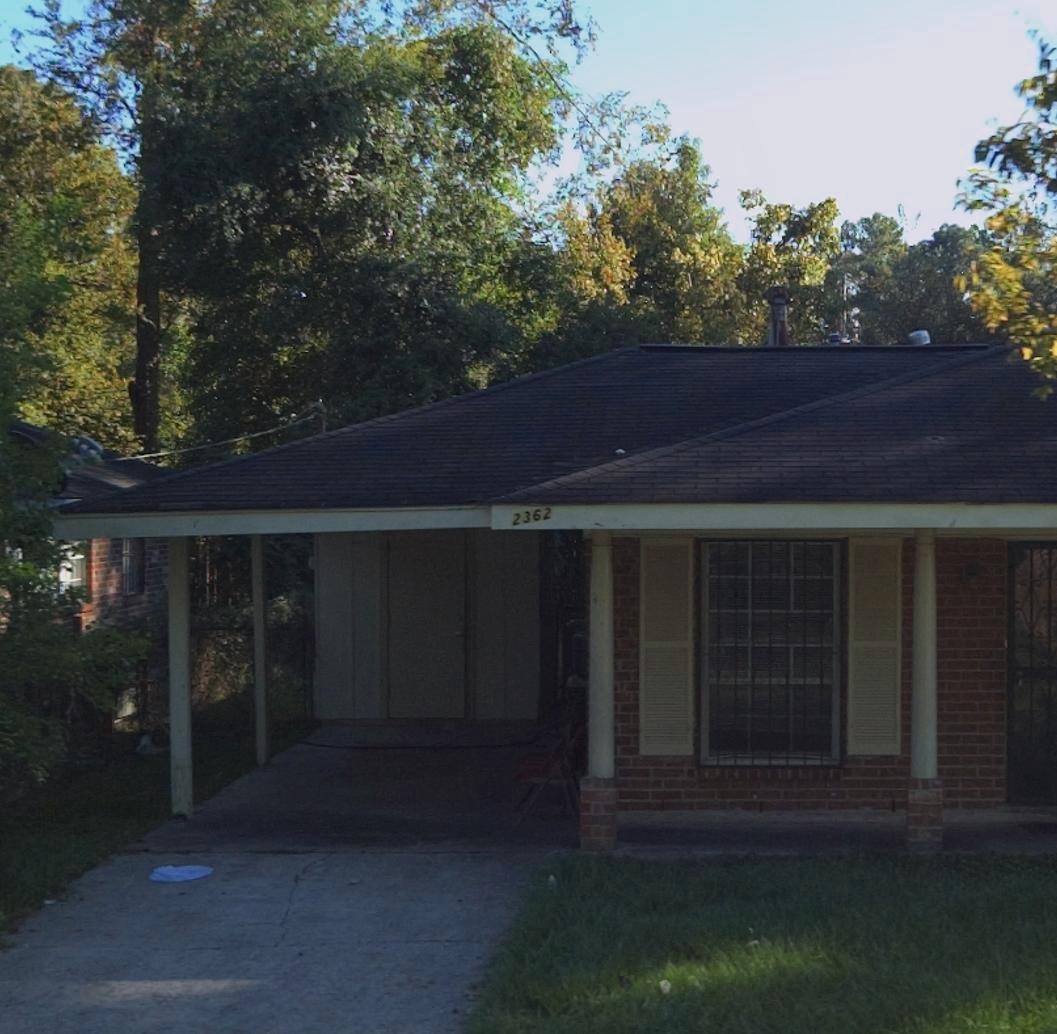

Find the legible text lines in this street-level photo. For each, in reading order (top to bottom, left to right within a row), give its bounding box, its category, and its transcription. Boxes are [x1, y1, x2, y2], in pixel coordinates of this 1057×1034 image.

[510, 505, 553, 528] StreetNumber: 2362